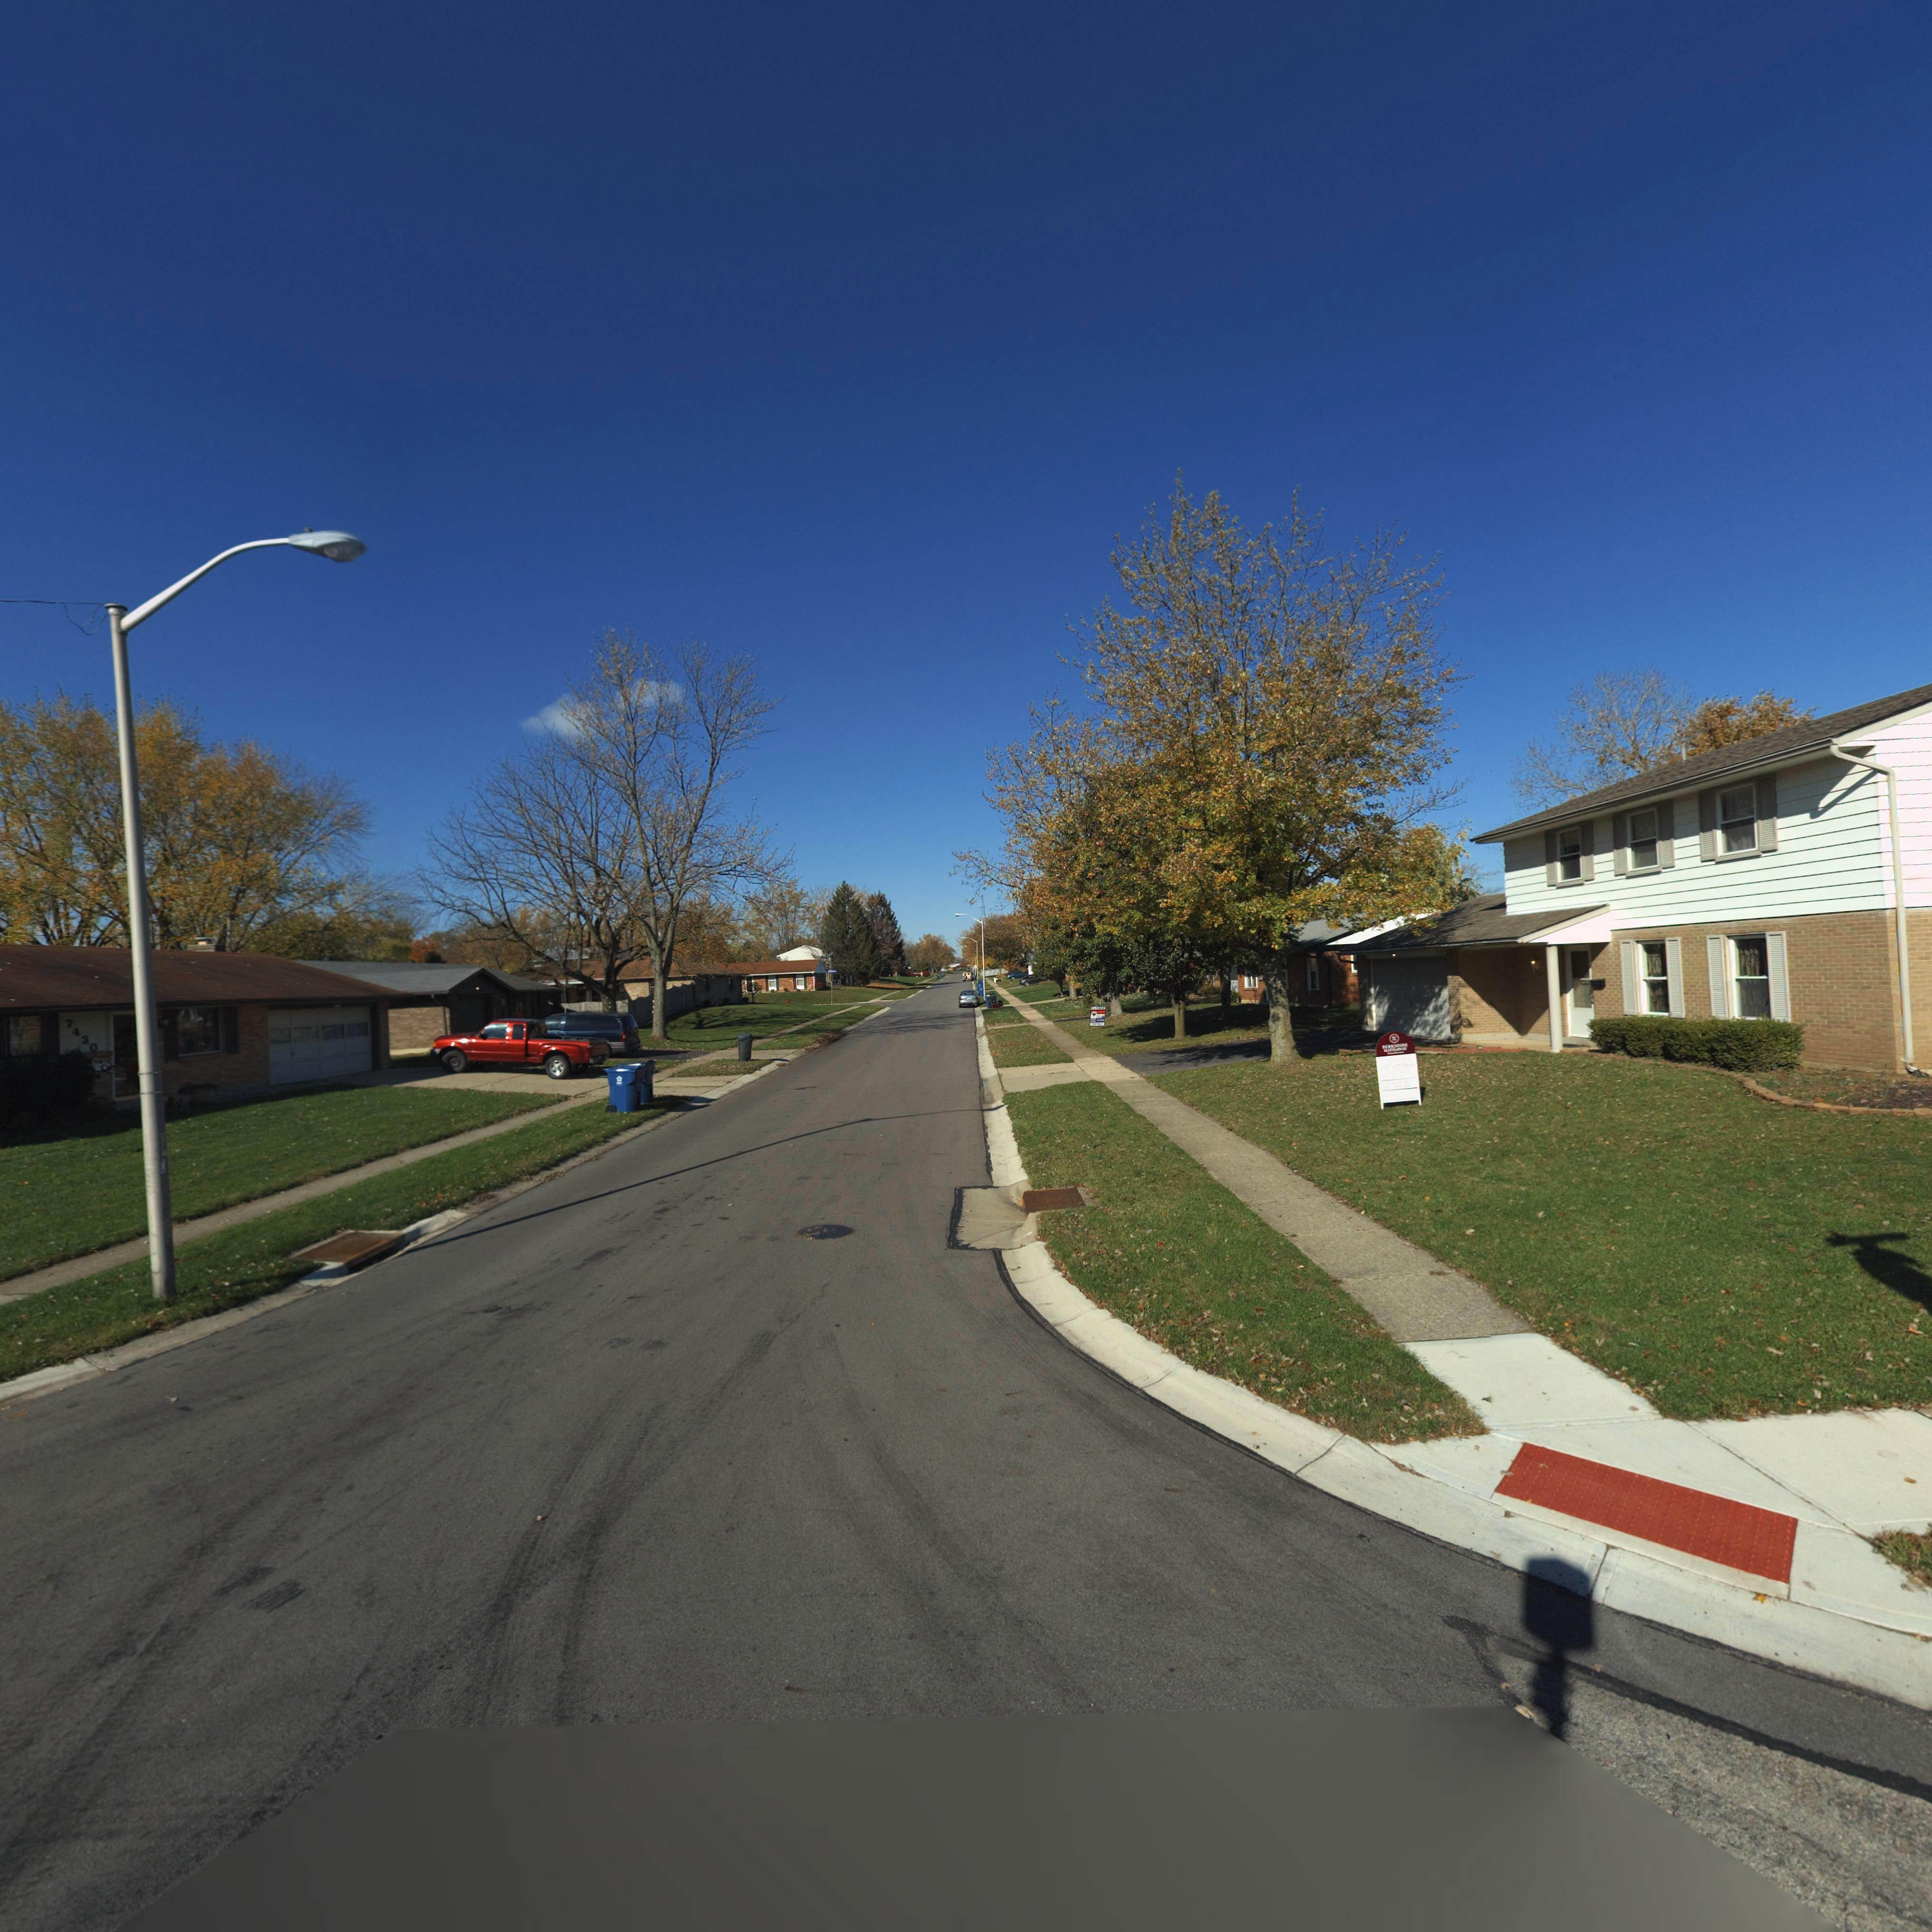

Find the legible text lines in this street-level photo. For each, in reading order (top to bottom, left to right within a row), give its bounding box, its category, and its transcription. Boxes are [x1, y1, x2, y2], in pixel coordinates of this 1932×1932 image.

[64, 1017, 99, 1053] StreetNumber: 7430